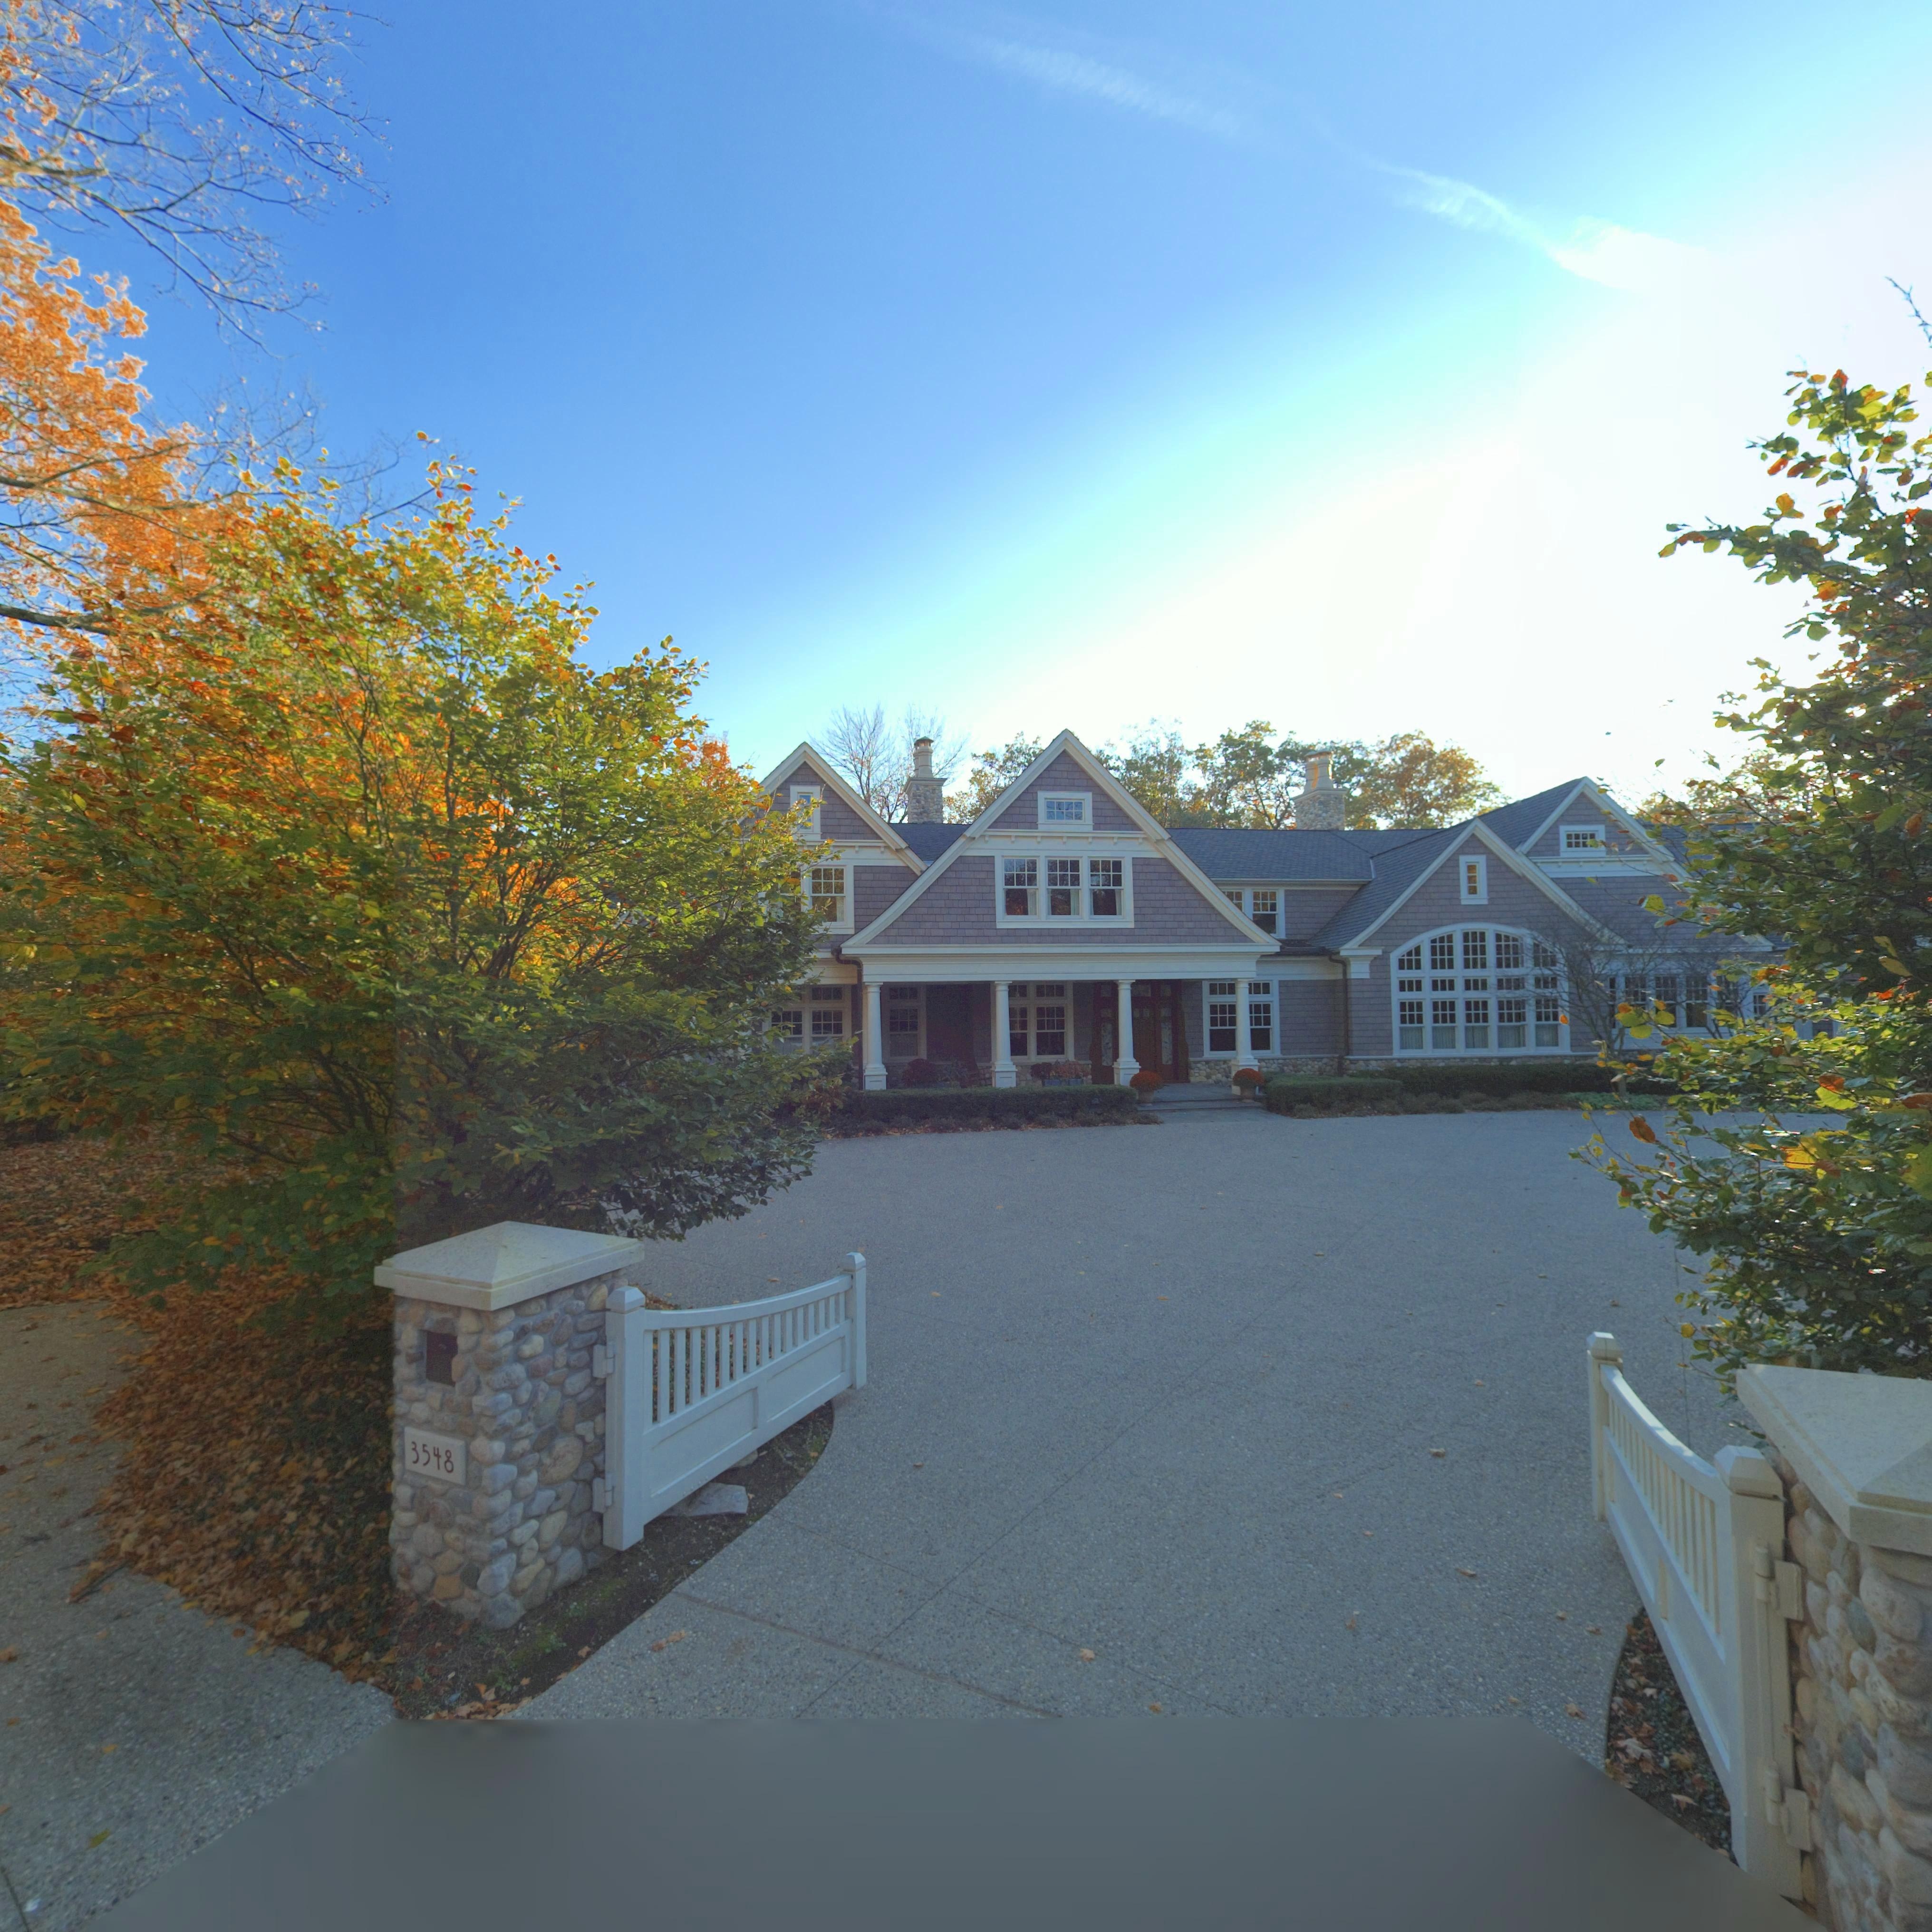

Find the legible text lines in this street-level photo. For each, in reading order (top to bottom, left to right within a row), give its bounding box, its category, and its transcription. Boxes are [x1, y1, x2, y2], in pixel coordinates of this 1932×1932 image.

[409, 1439, 455, 1476] StreetNumber: 3548